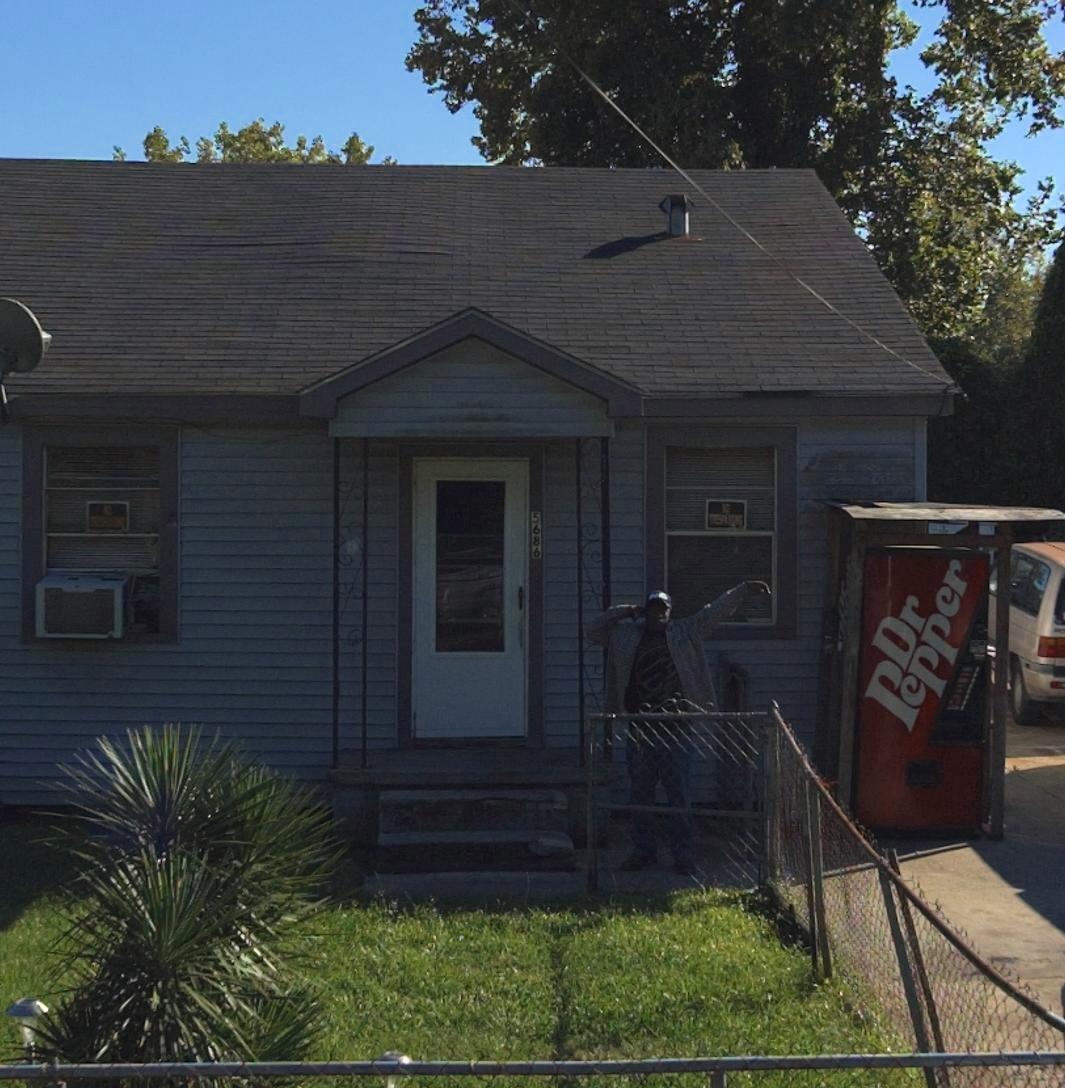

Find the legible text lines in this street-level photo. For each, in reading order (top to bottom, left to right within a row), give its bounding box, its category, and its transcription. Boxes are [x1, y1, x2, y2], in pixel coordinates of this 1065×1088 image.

[100, 503, 113, 516] None: NO
[531, 511, 542, 558] StreetNumber: 5686
[720, 502, 730, 513] None: NO
[708, 512, 743, 525] None: TRESPASSING
[868, 592, 931, 676] None: Dr
[894, 556, 970, 714] None: epper